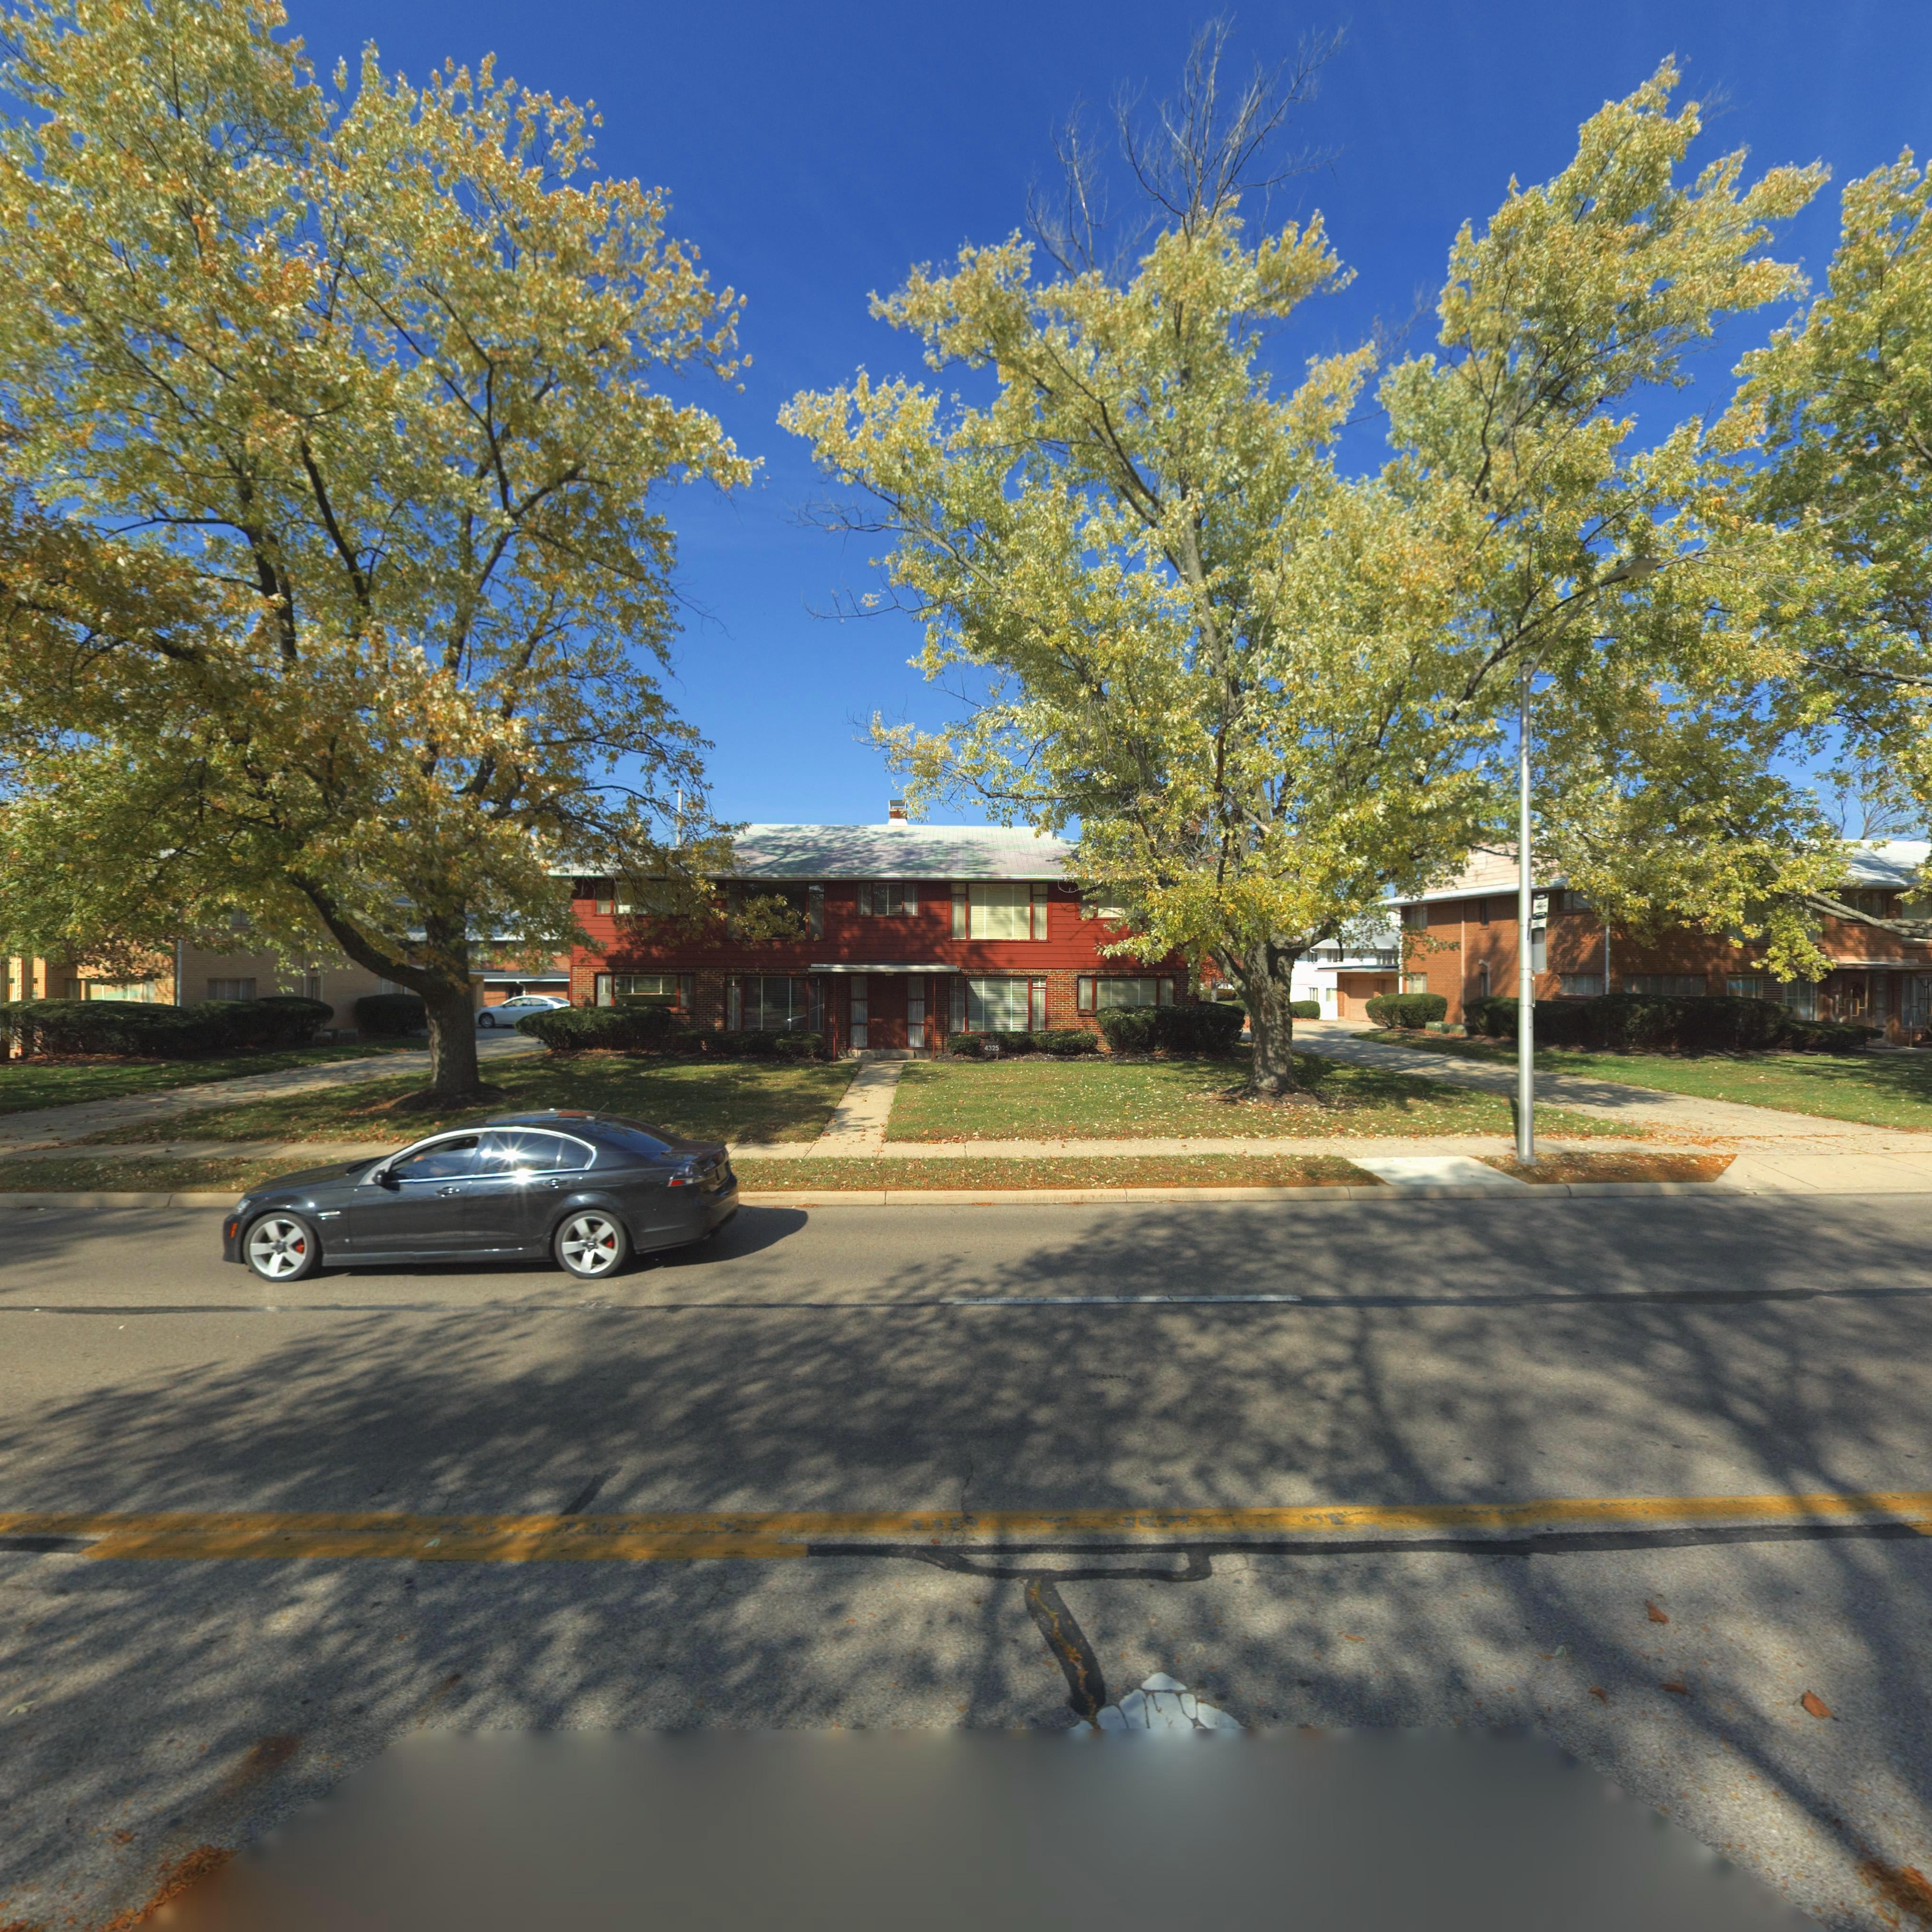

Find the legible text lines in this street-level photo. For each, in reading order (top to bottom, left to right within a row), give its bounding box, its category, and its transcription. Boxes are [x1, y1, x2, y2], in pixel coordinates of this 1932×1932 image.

[983, 1044, 1001, 1053] StreetNumber: 4325